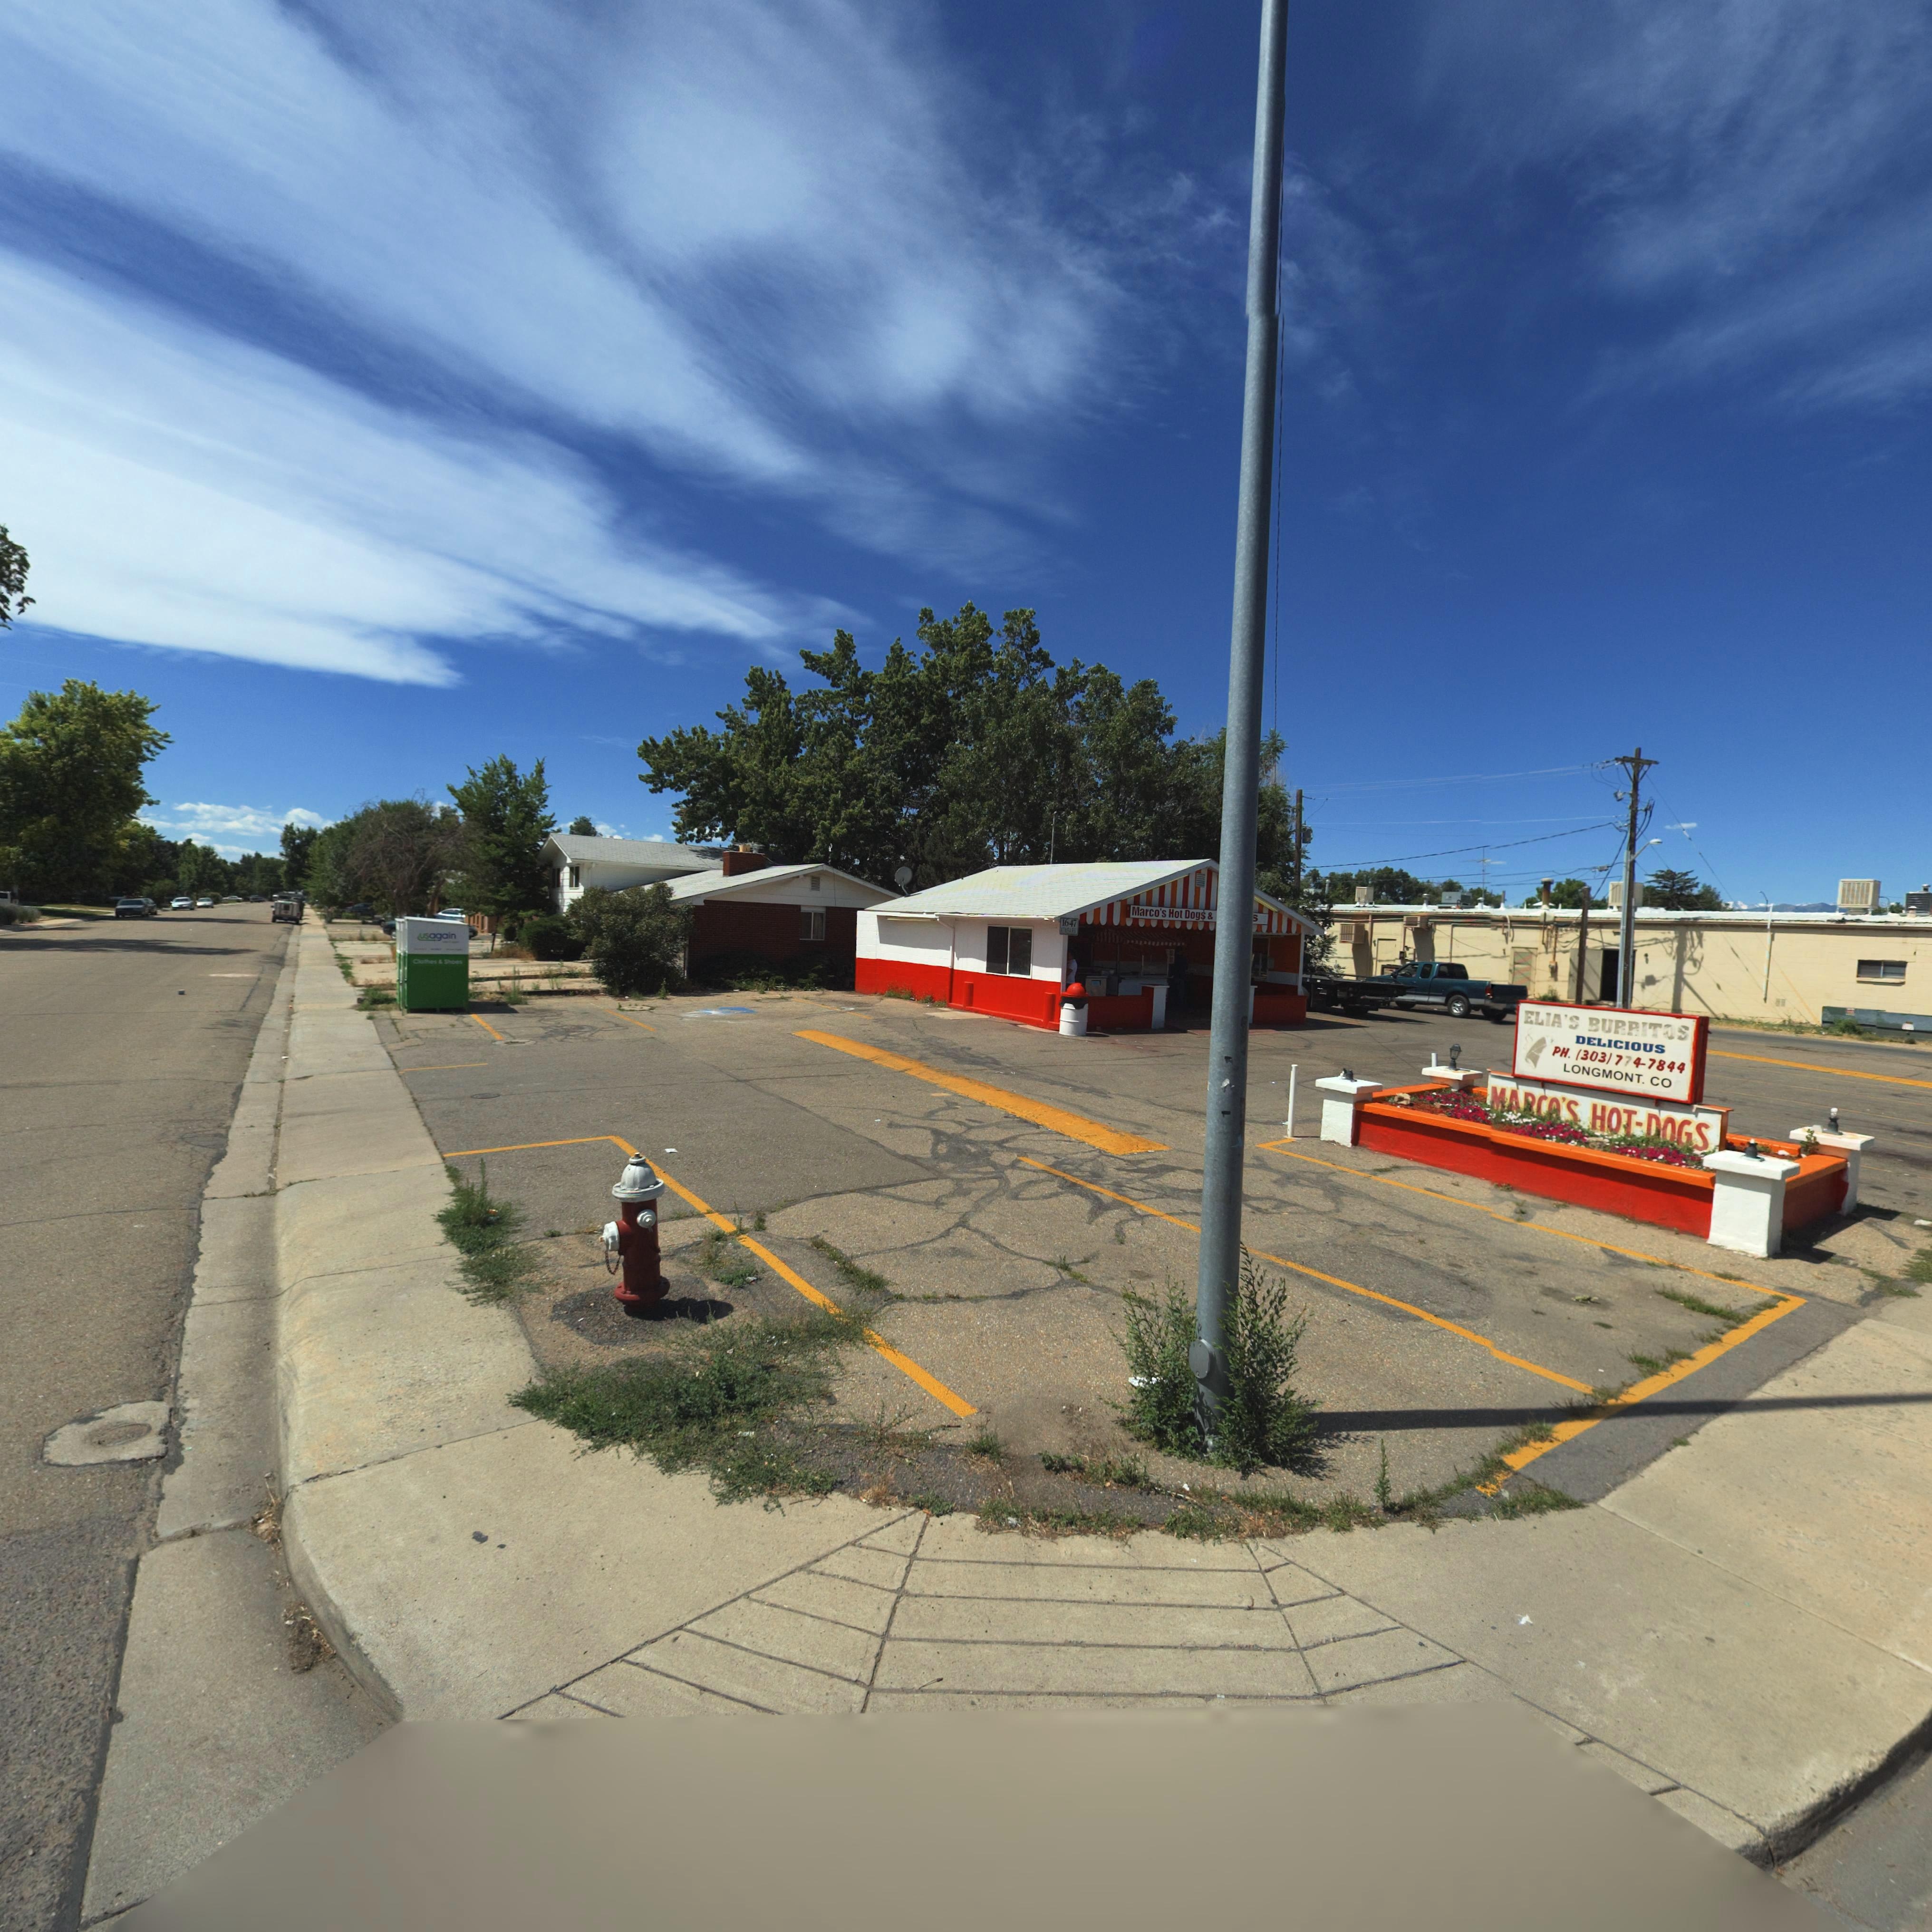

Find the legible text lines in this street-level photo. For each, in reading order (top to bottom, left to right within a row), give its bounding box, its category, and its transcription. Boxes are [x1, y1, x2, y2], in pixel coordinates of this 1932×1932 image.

[1060, 927, 1077, 934] StreetName: KIMBARK
[1062, 918, 1077, 927] StreetNumber: 1647
[1131, 906, 1259, 923] BusinessName: Marco's Hot Dog$ & ****S
[1523, 1010, 1690, 1042] BusinessName: ELIA'S BURRITOS
[1575, 1034, 1666, 1054] BusinessName: DELICIOUS
[1489, 1084, 1712, 1152] BusinessName: M****'S HOT-*OGS